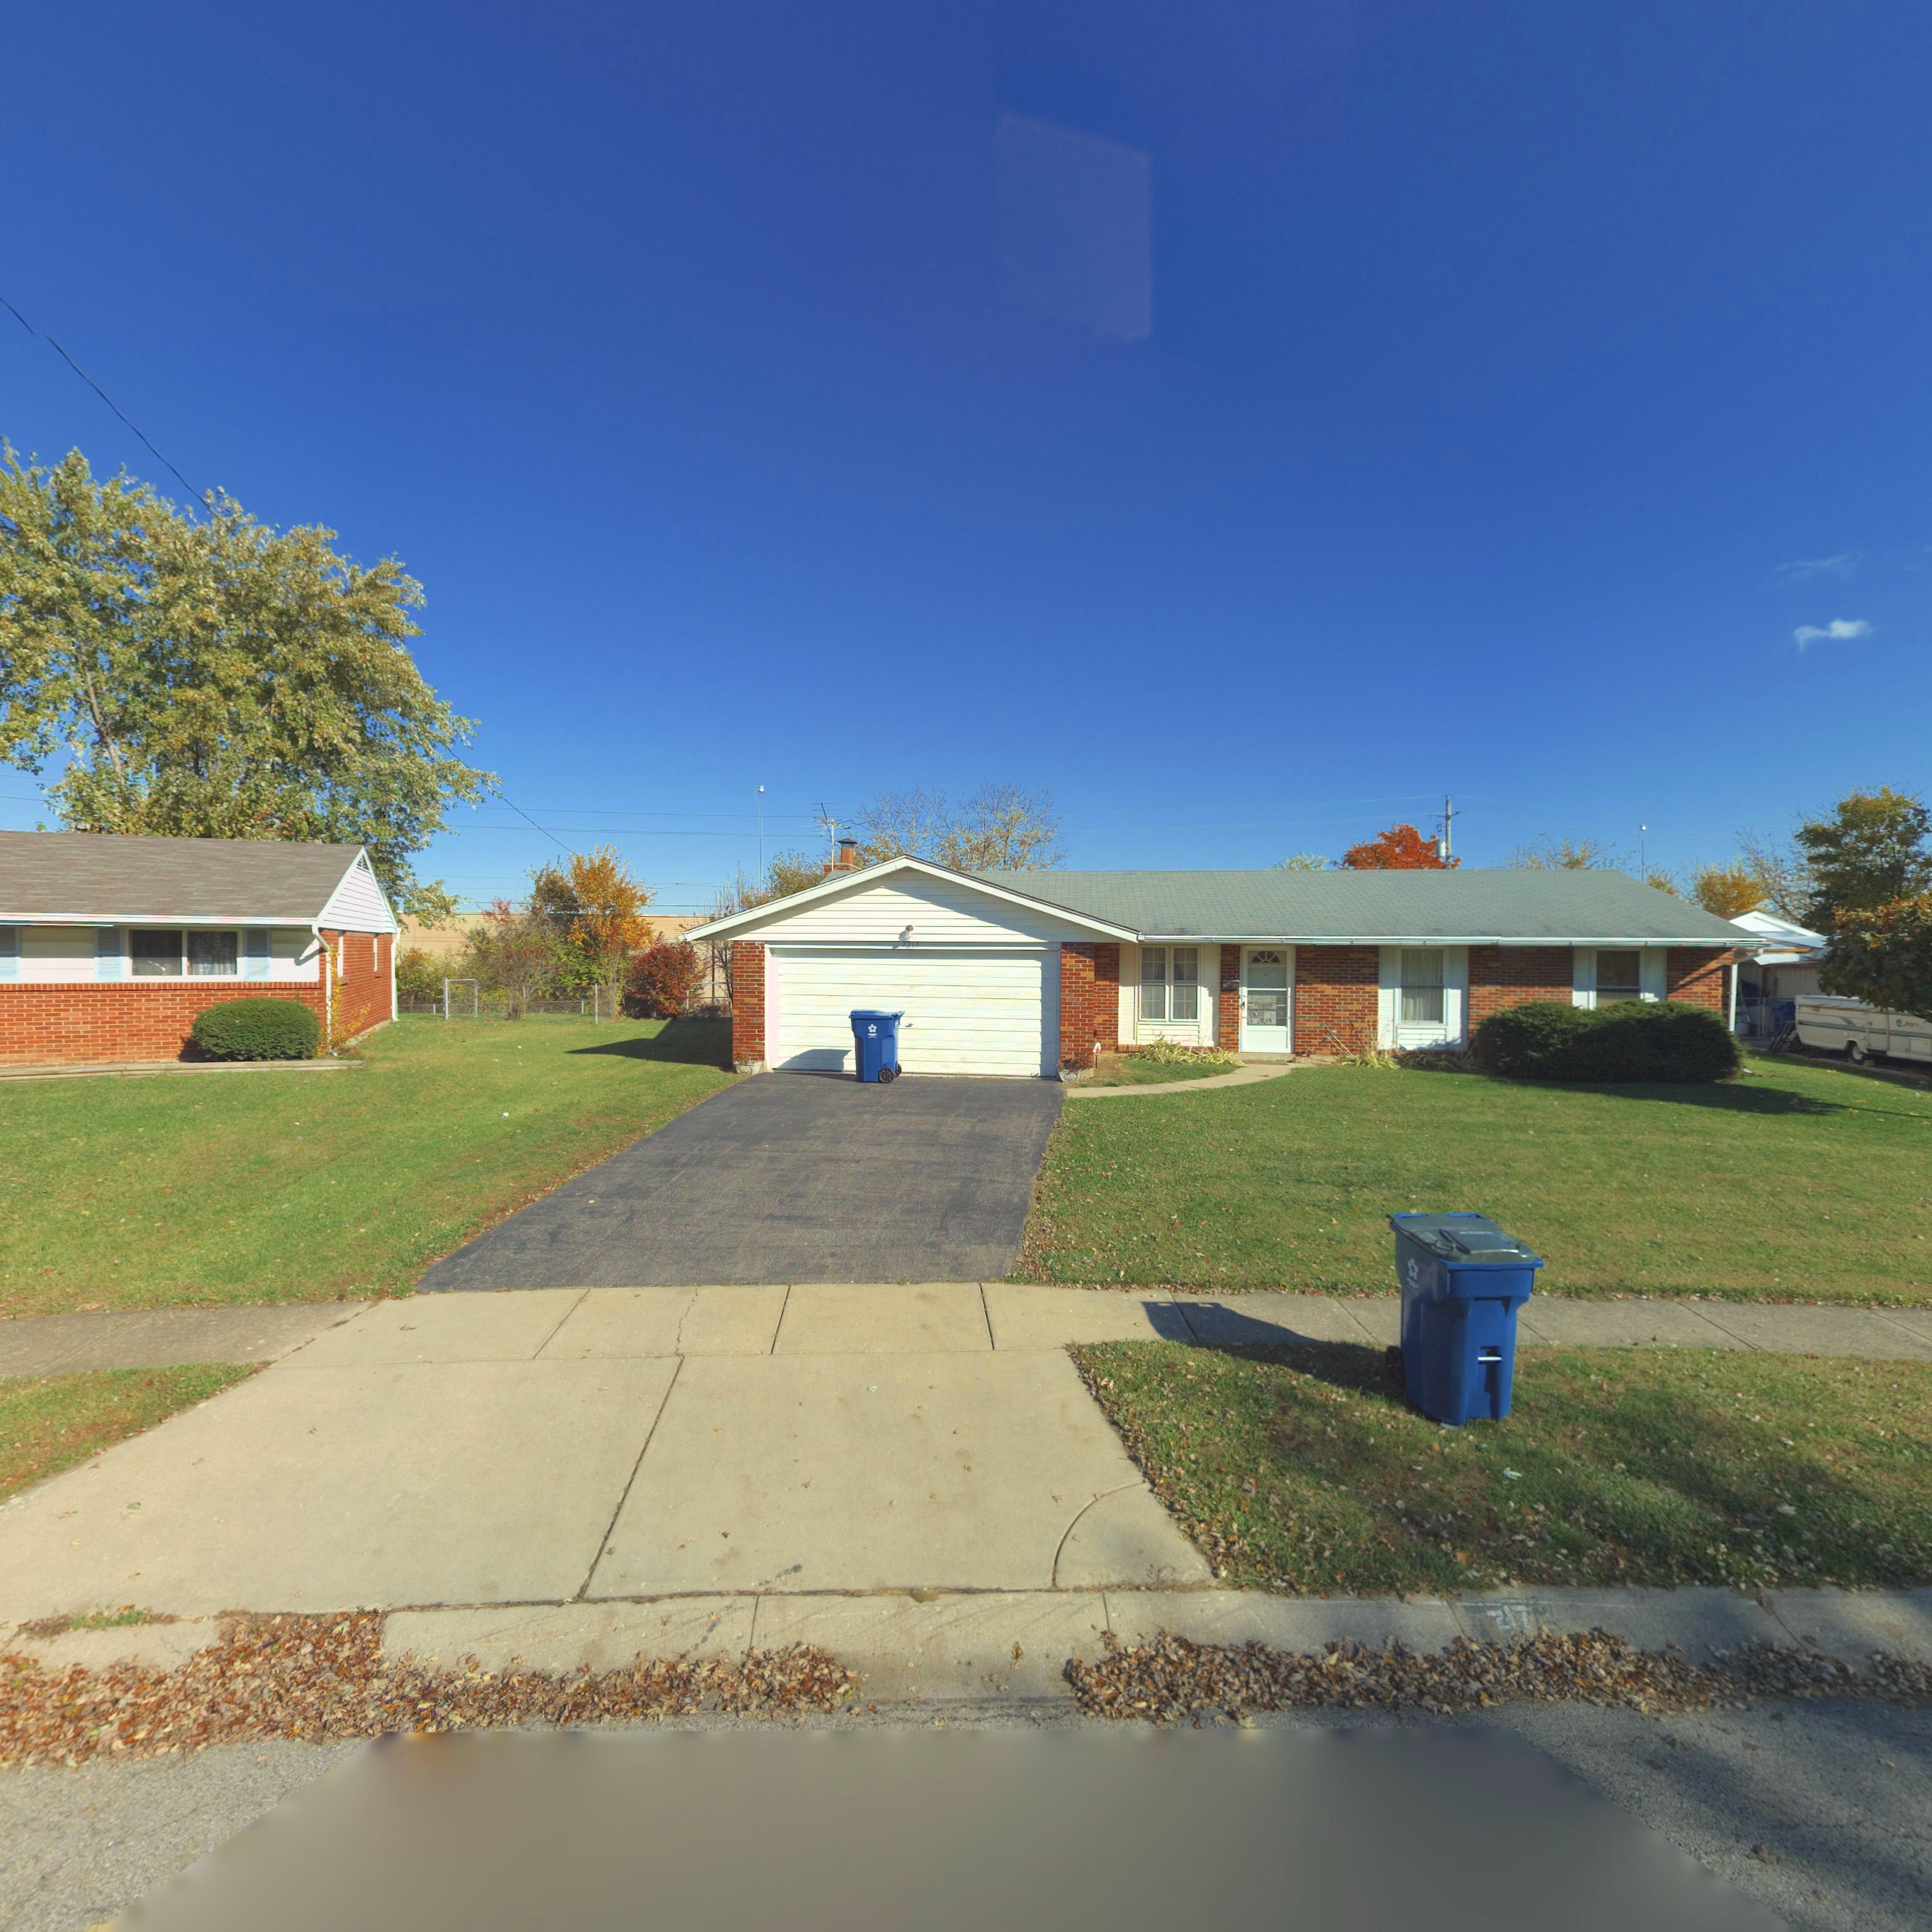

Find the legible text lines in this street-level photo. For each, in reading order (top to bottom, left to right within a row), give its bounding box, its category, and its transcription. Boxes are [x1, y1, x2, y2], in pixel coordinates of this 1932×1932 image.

[901, 941, 921, 950] StreetNumber: 7217
[1482, 1602, 1535, 1637] StreetNumber: *17